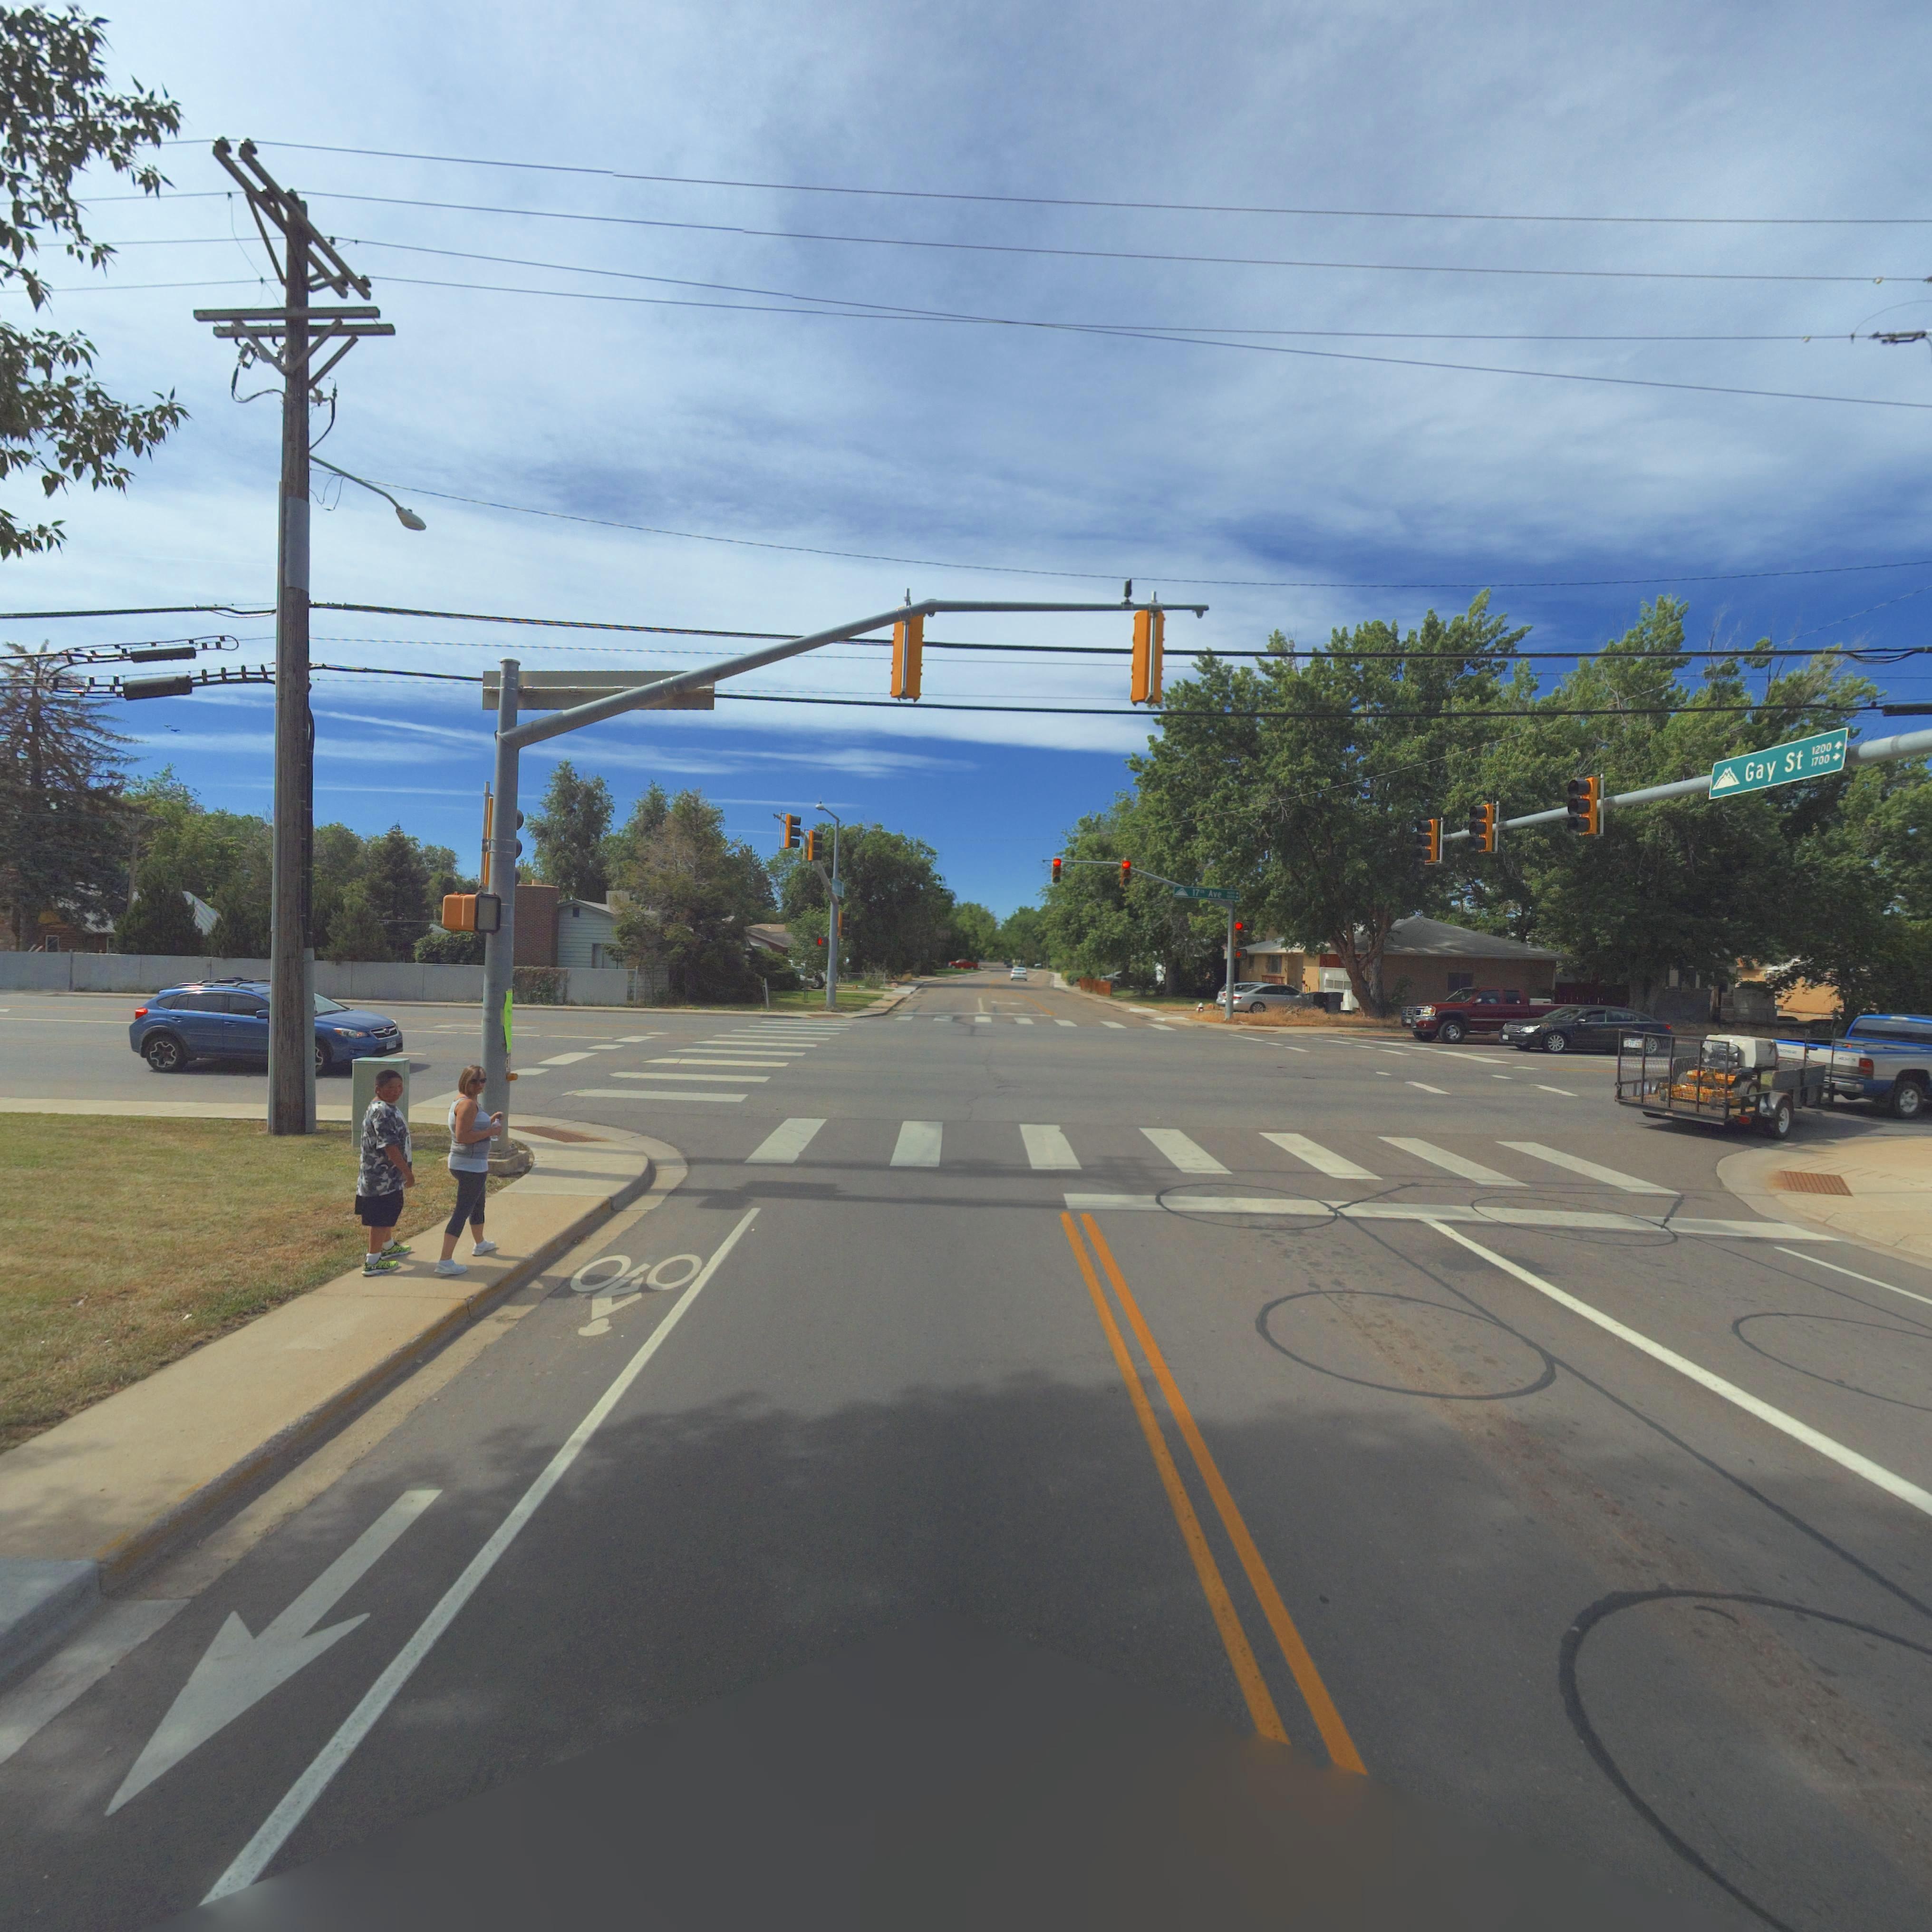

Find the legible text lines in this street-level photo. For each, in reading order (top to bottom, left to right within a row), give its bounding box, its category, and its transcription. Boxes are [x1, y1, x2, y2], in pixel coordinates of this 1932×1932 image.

[1811, 742, 1832, 755] StreetNumberRange: 1200
[1744, 749, 1804, 782] StreetName: Gay St
[1810, 752, 1842, 767] StreetNumberRange: 1700->
[1192, 888, 1222, 898] StreetName: 17** Ave
[1227, 890, 1235, 895] StreetNumberRange: ***0
[1226, 895, 1238, 899] StreetNumberRange: **0***